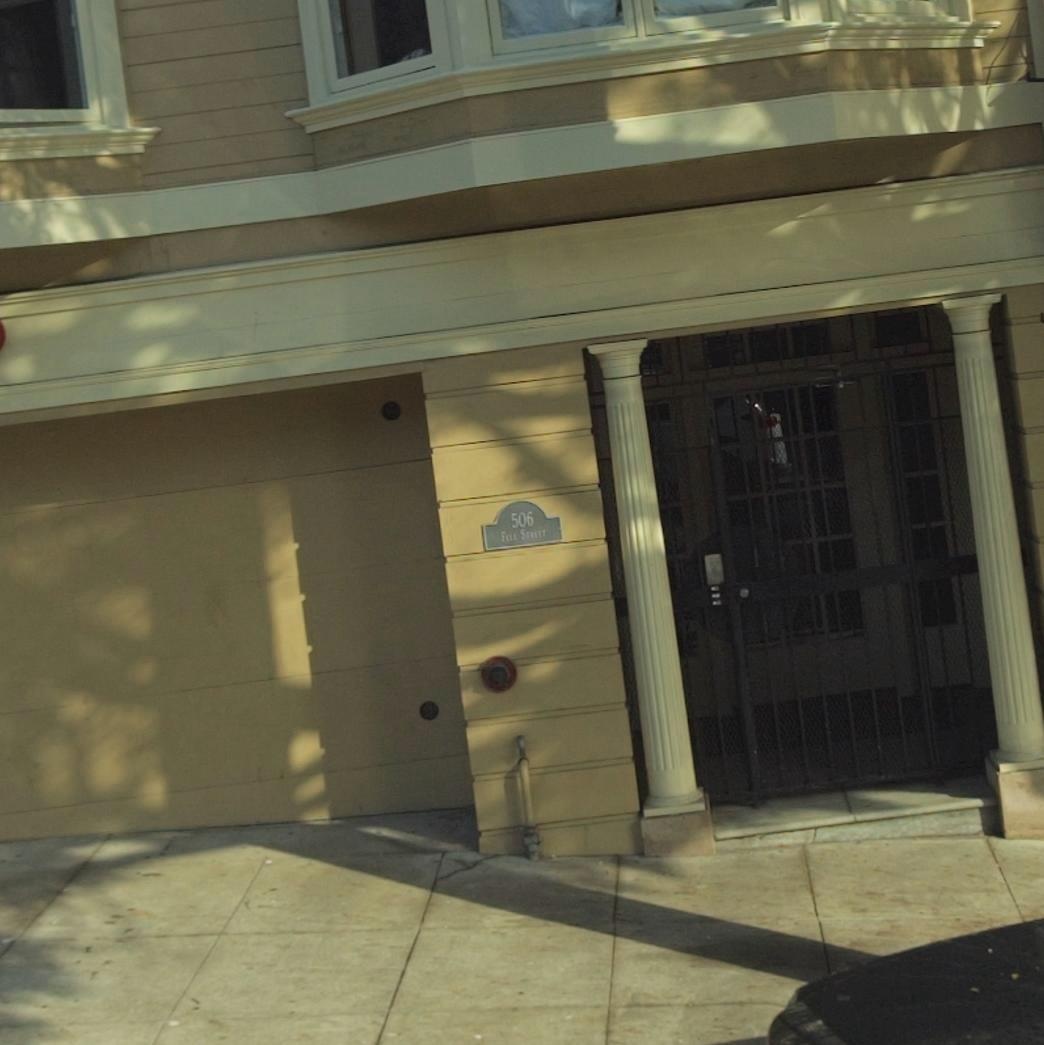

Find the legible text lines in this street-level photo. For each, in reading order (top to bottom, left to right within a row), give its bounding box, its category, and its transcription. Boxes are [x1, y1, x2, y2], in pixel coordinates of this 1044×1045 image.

[509, 508, 536, 532] StreetNumber: 506
[518, 527, 528, 543] StreetName: S